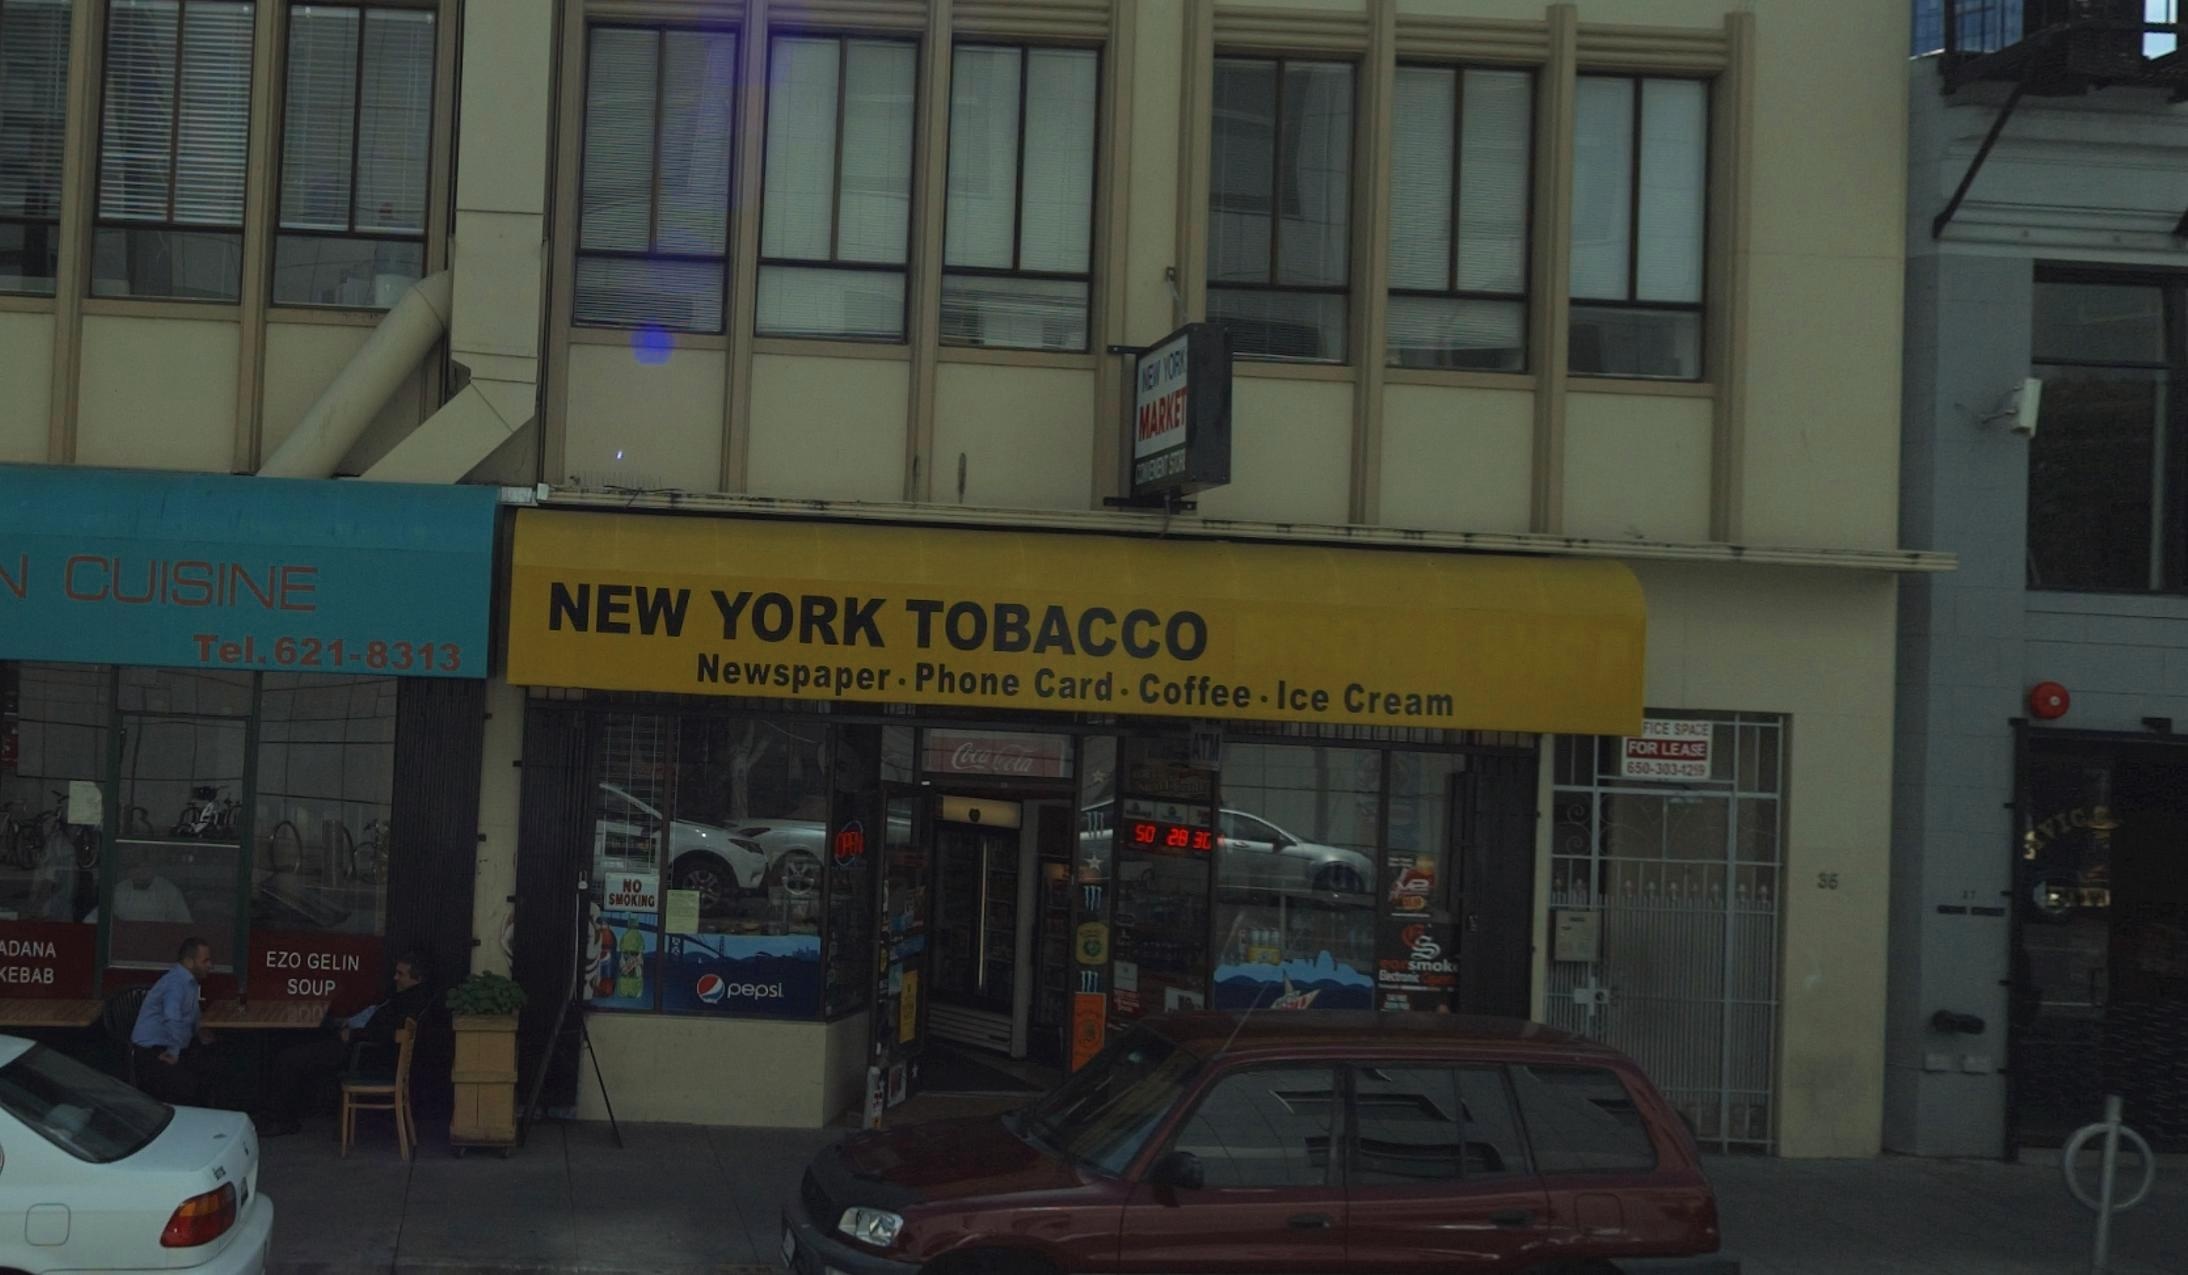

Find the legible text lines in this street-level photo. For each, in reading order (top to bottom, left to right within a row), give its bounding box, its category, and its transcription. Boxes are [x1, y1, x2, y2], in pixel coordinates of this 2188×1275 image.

[1138, 343, 1188, 397] BusinessName: NEW YORK
[1133, 380, 1187, 445] BusinessName: MARKET
[1130, 444, 1190, 489] None: CO**E*E* S**R
[60, 549, 322, 615] None: CUISINE
[546, 577, 1211, 664] BusinessName: NEW YORK TOBACCO
[189, 629, 467, 675] None: Tel.621-8313
[693, 648, 1457, 719] None: Newspaper - Phone Card - Coffee - Ice Cream
[1640, 718, 1711, 739] None: FICE SPACE
[947, 738, 1041, 778] None: Coca-Cola
[1187, 728, 1221, 765] None: ATM
[1624, 760, 1708, 779] None: 650-303-12*9
[1624, 738, 1709, 758] None: FOR LEASE
[834, 828, 864, 862] None: OPEN
[1131, 820, 1157, 847] None: 50
[1163, 825, 1191, 850] None: 28
[1190, 828, 1212, 853] None: 3*
[2032, 801, 2095, 843] None: VIC
[607, 891, 656, 909] None: SMOKING
[621, 877, 643, 895] None: NO
[1813, 869, 1842, 894] StreetNumber: 35
[1959, 886, 1982, 903] StreetNumber: 37
[6, 964, 56, 987] None: EBAB
[6, 937, 59, 961] None: DANA
[285, 975, 338, 999] None: SOUP
[264, 948, 362, 974] None: EZA GELIN
[726, 980, 784, 1002] None: pepse
[1377, 968, 1456, 987] None: Electronic Cigar***
[1378, 955, 1457, 973] None: eo*smoke